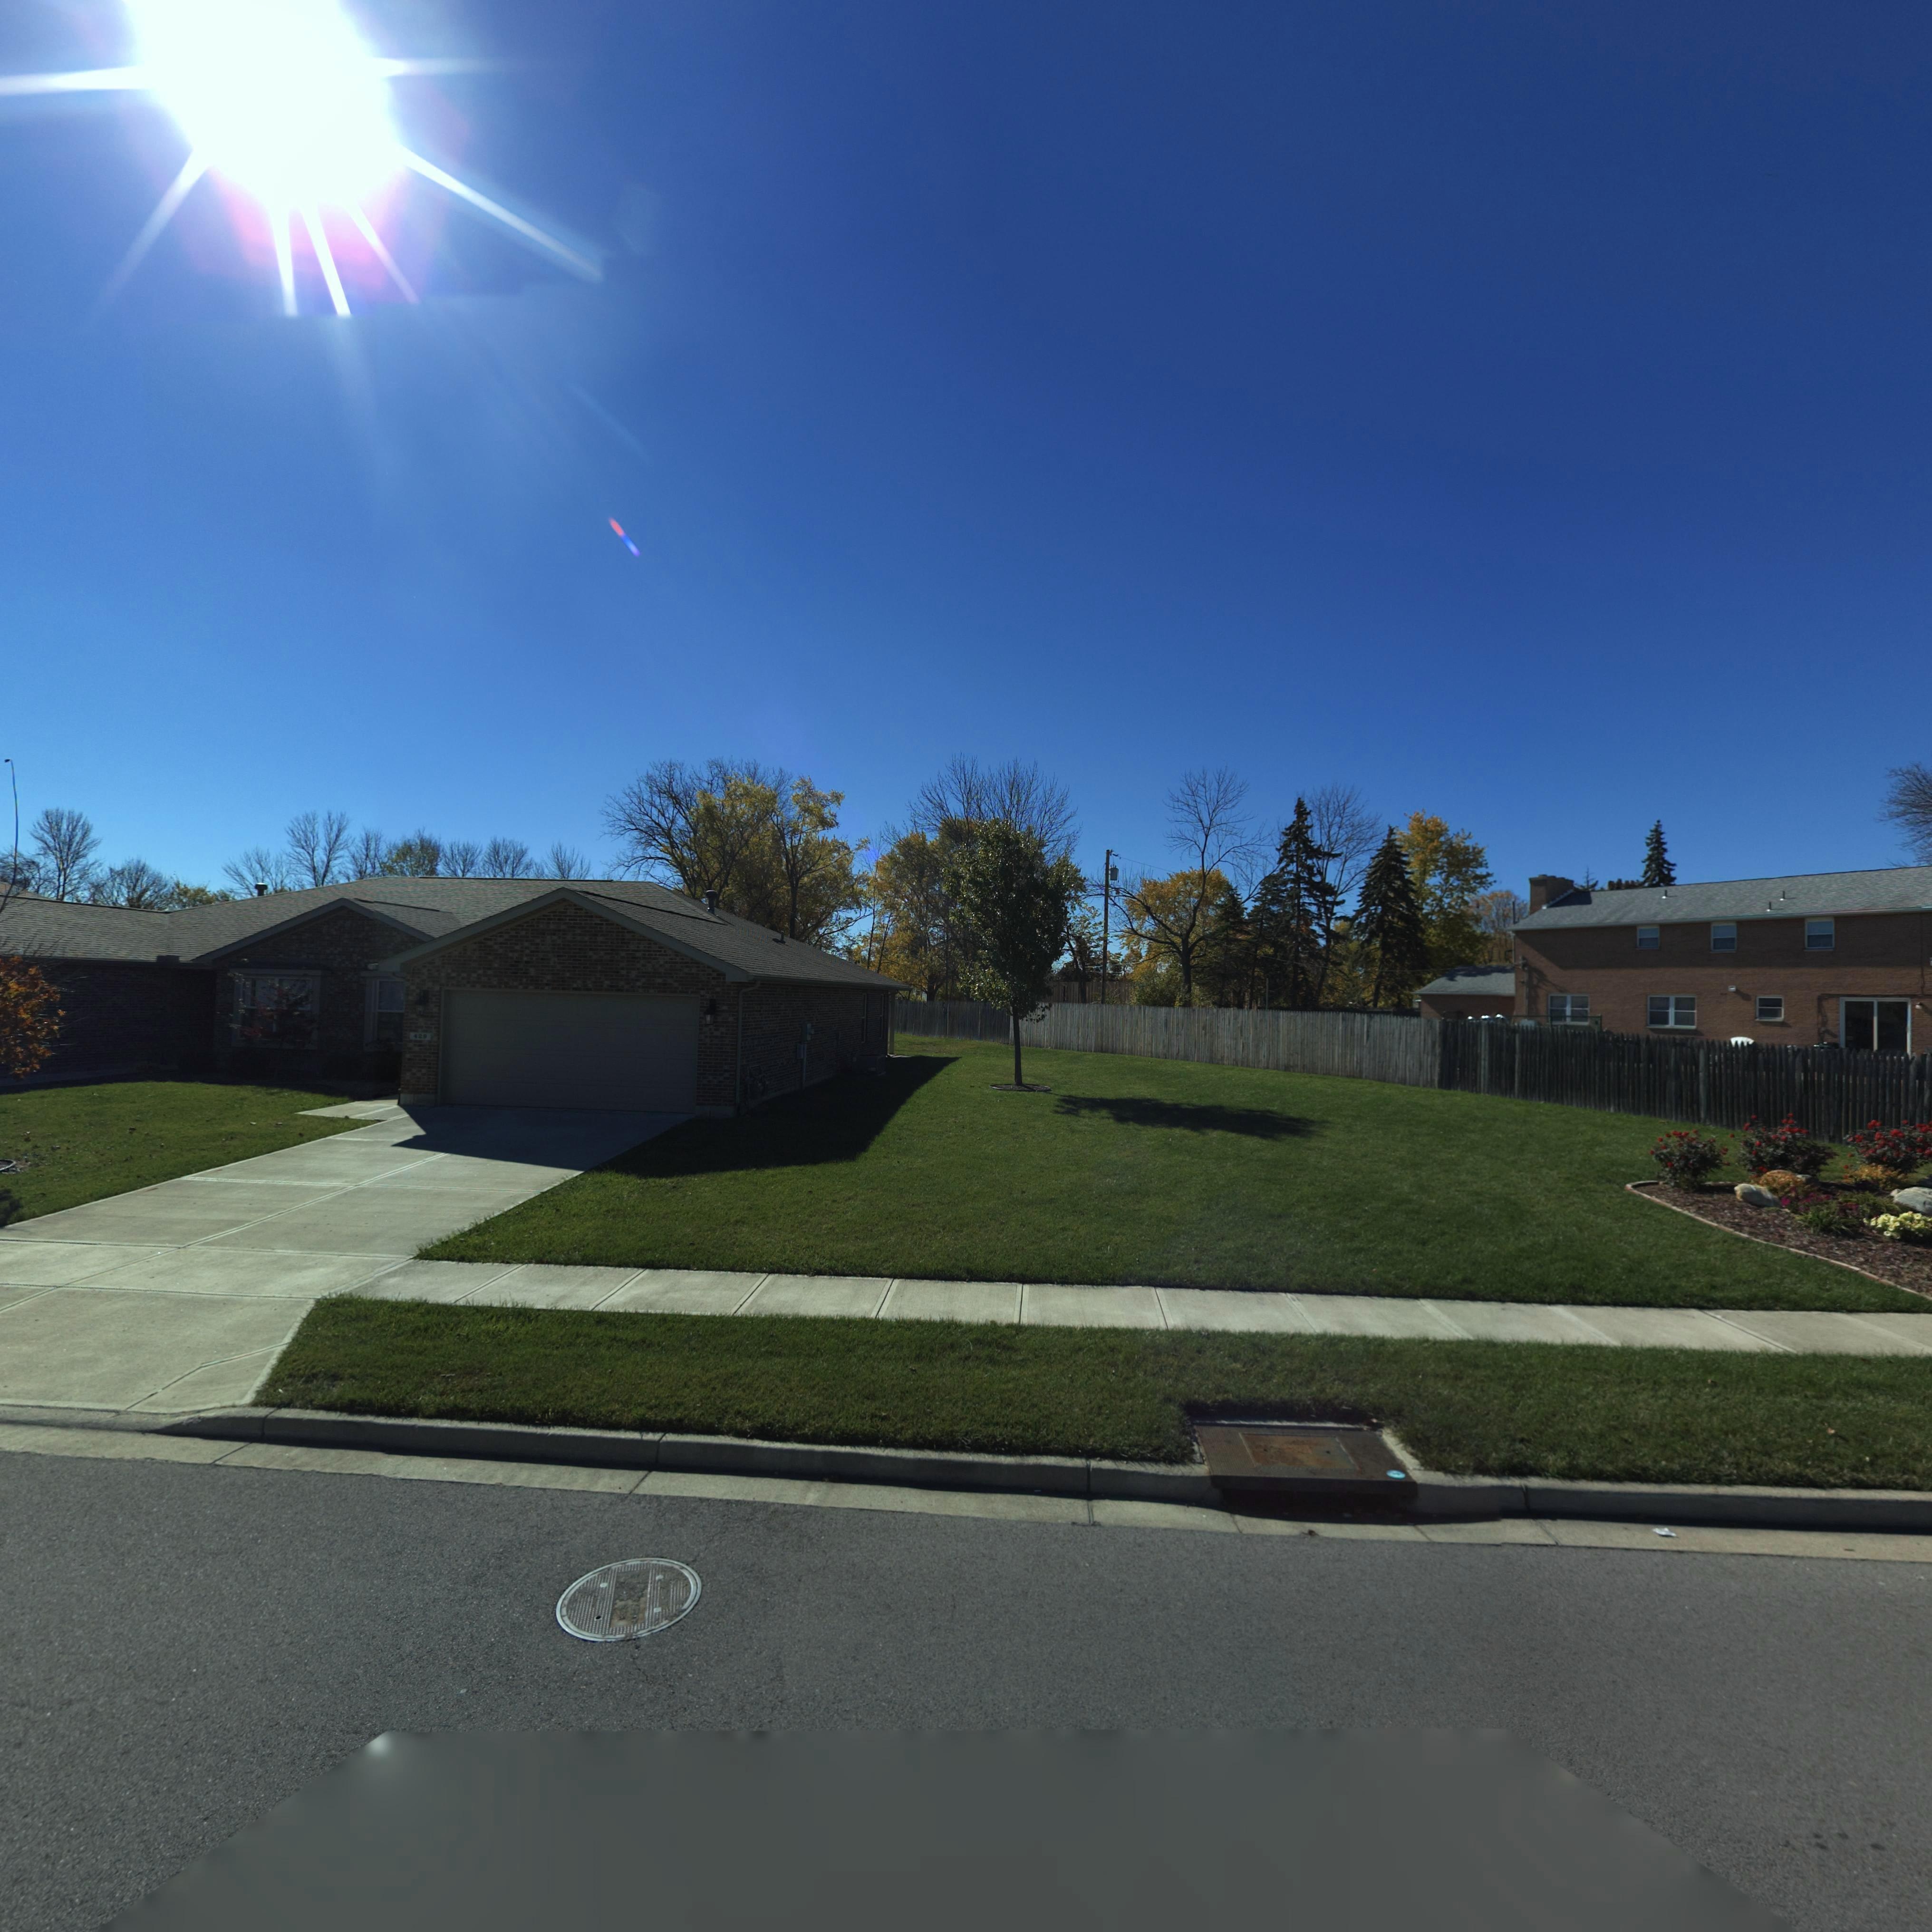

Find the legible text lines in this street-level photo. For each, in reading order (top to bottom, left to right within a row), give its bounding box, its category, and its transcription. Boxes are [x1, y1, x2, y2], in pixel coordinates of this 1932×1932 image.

[413, 1033, 428, 1039] StreetNumber: 420